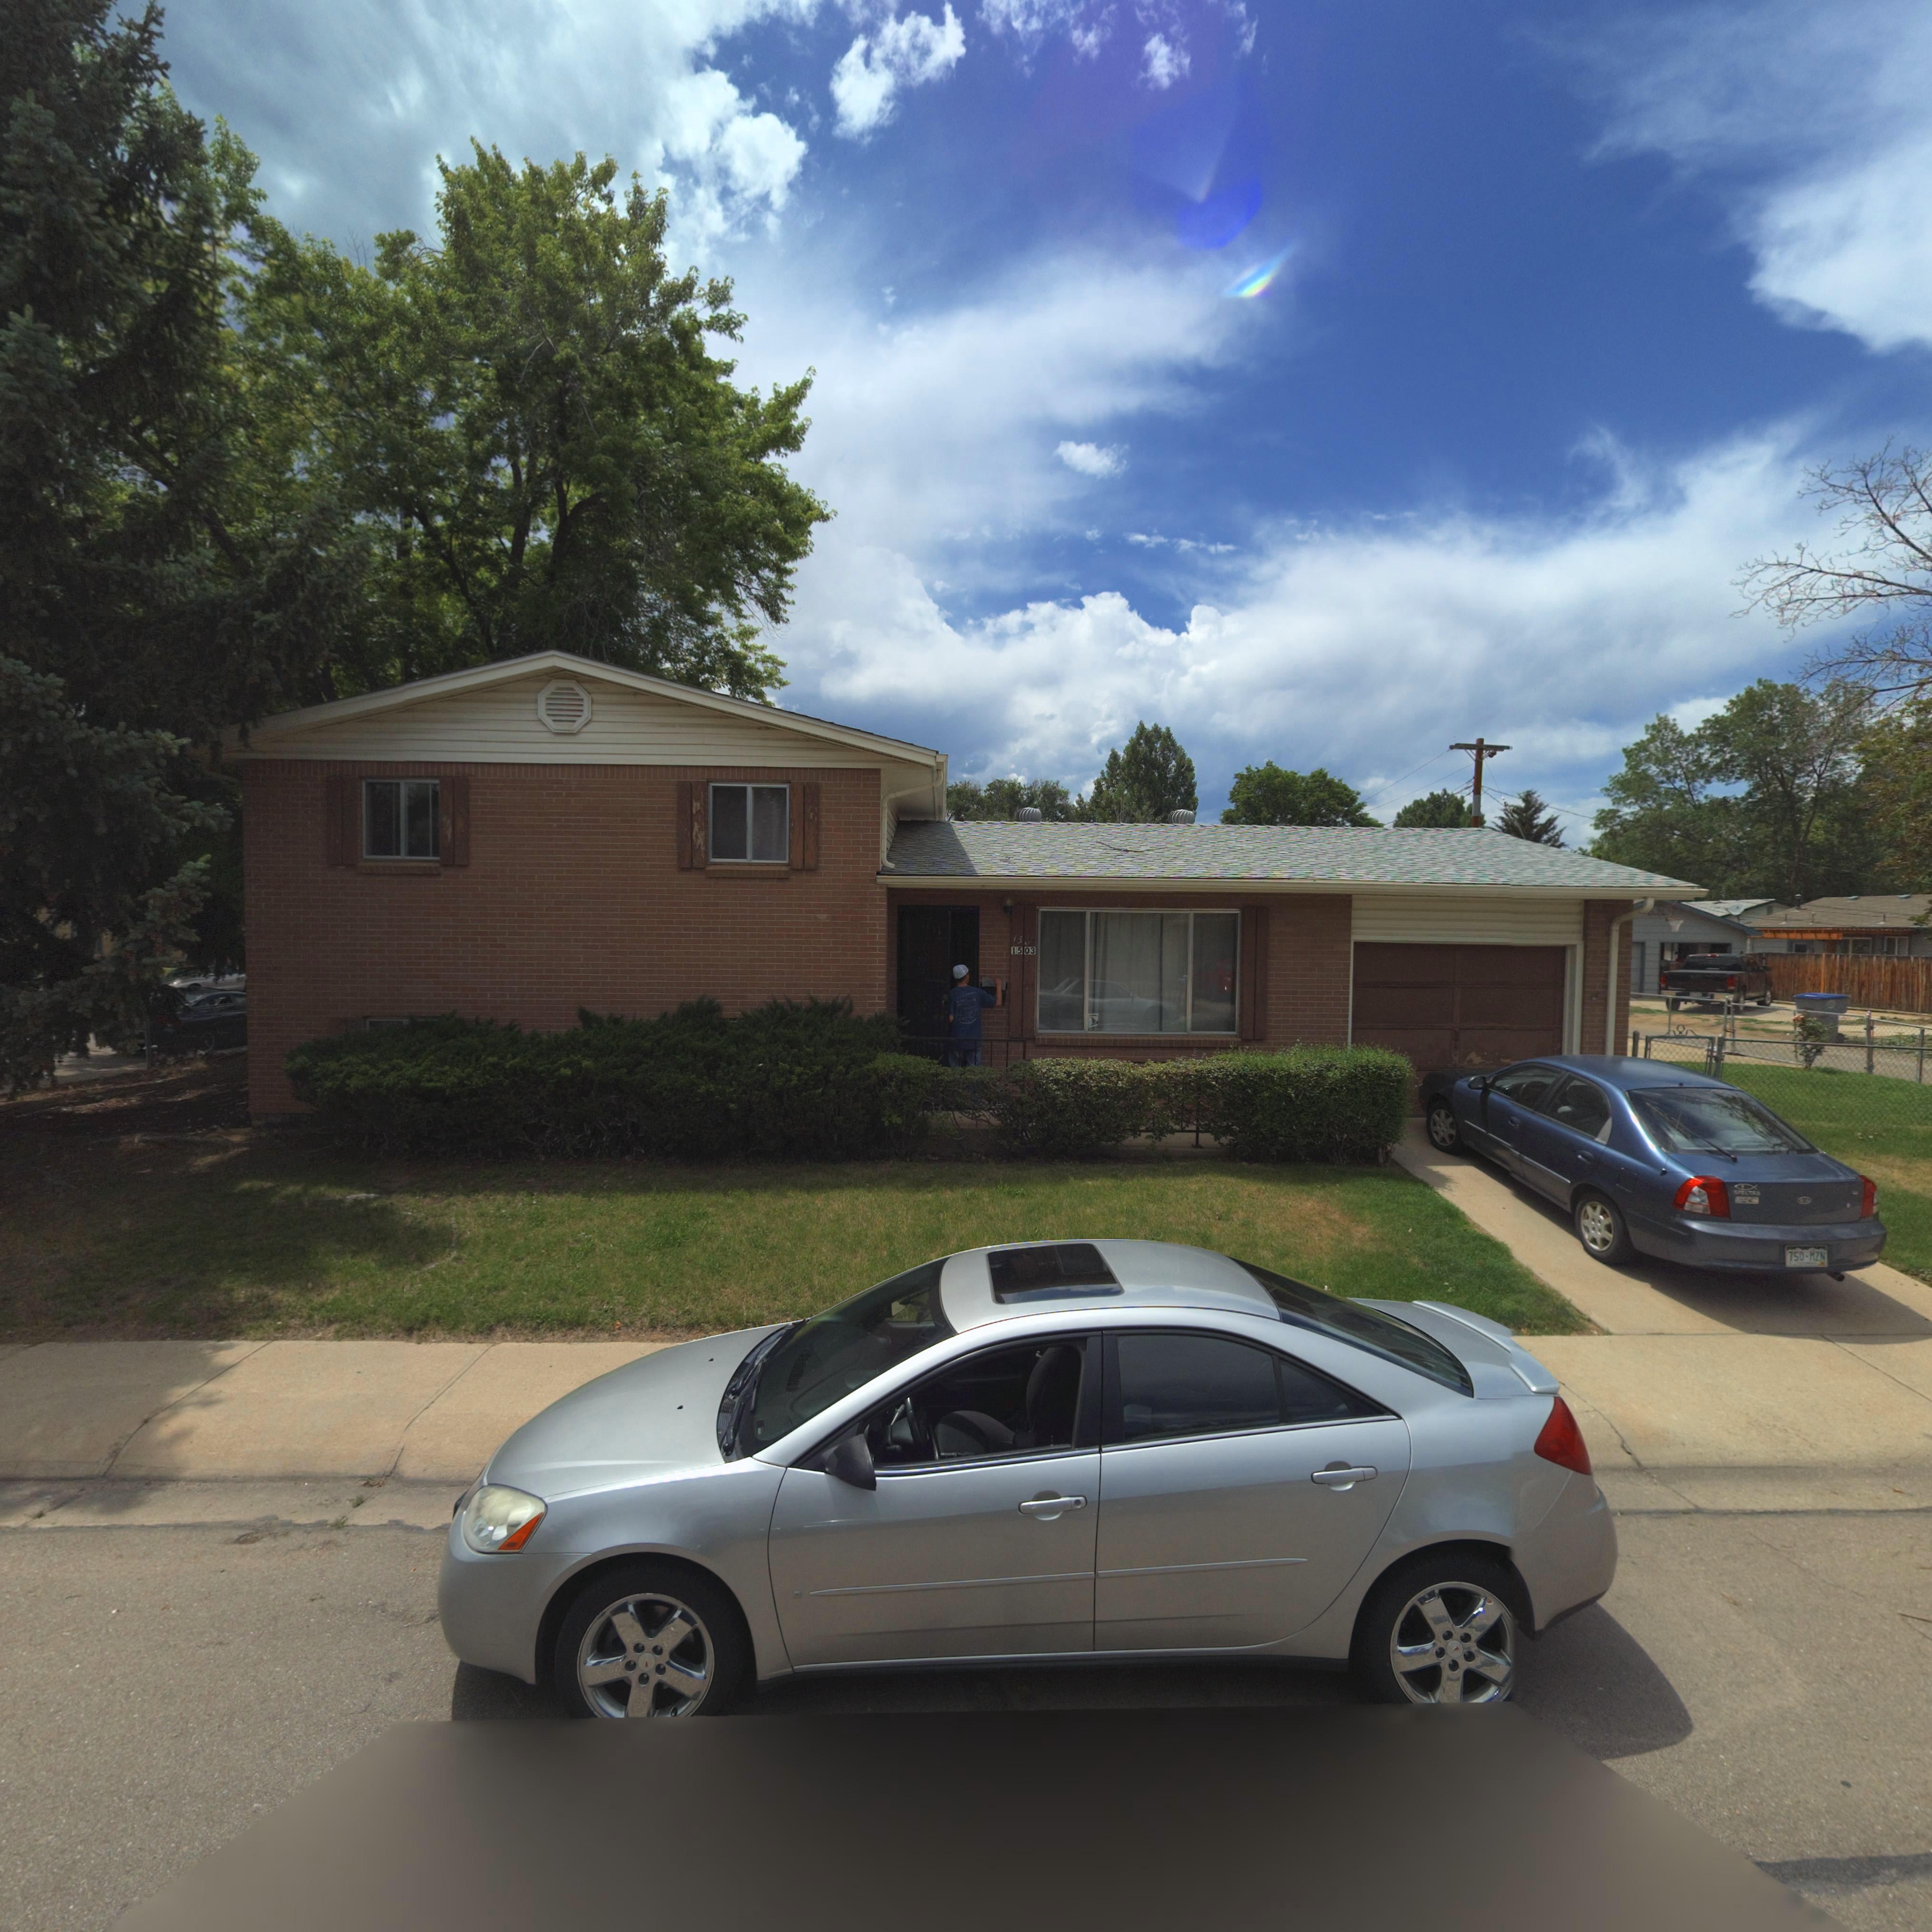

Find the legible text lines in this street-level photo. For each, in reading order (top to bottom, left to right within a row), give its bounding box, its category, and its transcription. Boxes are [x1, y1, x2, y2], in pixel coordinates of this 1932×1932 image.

[1012, 933, 1030, 946] StreetNumber: 150
[1011, 947, 1035, 955] StreetNumber: 1503